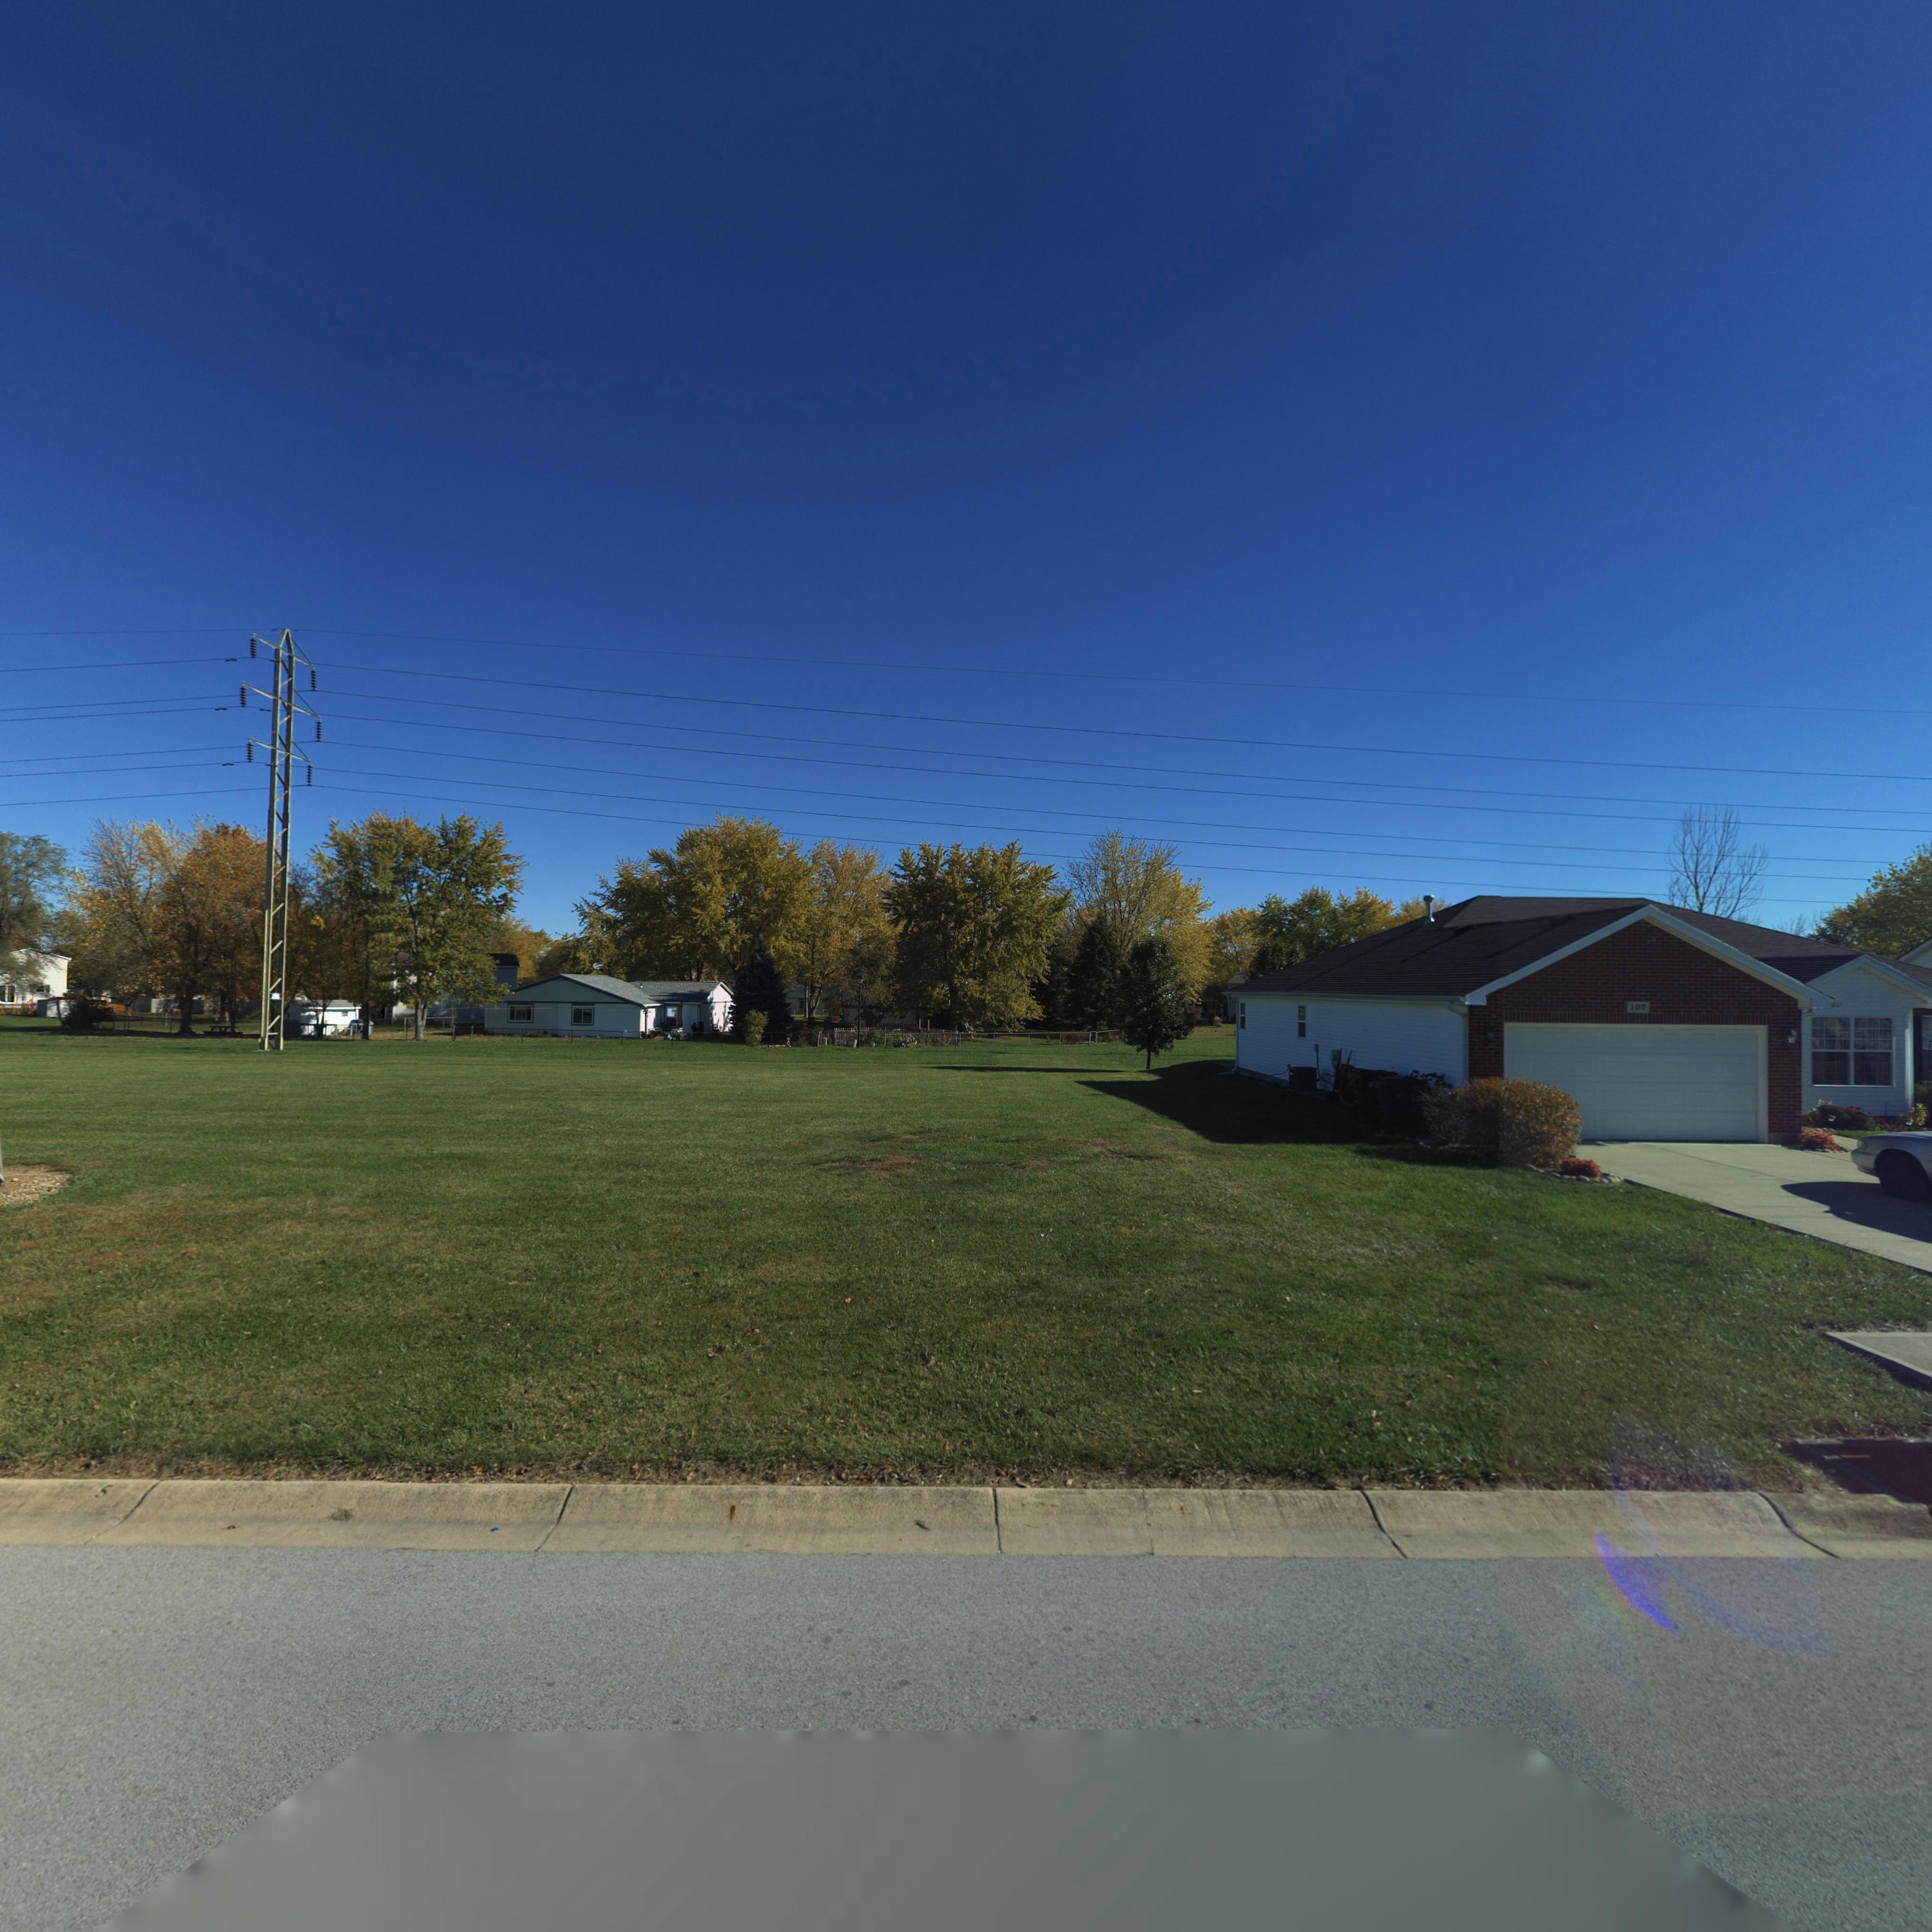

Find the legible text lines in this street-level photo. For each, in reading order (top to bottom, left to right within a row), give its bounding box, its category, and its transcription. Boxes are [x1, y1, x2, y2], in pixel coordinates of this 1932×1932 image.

[1630, 1003, 1647, 1011] StreetNumber: 107